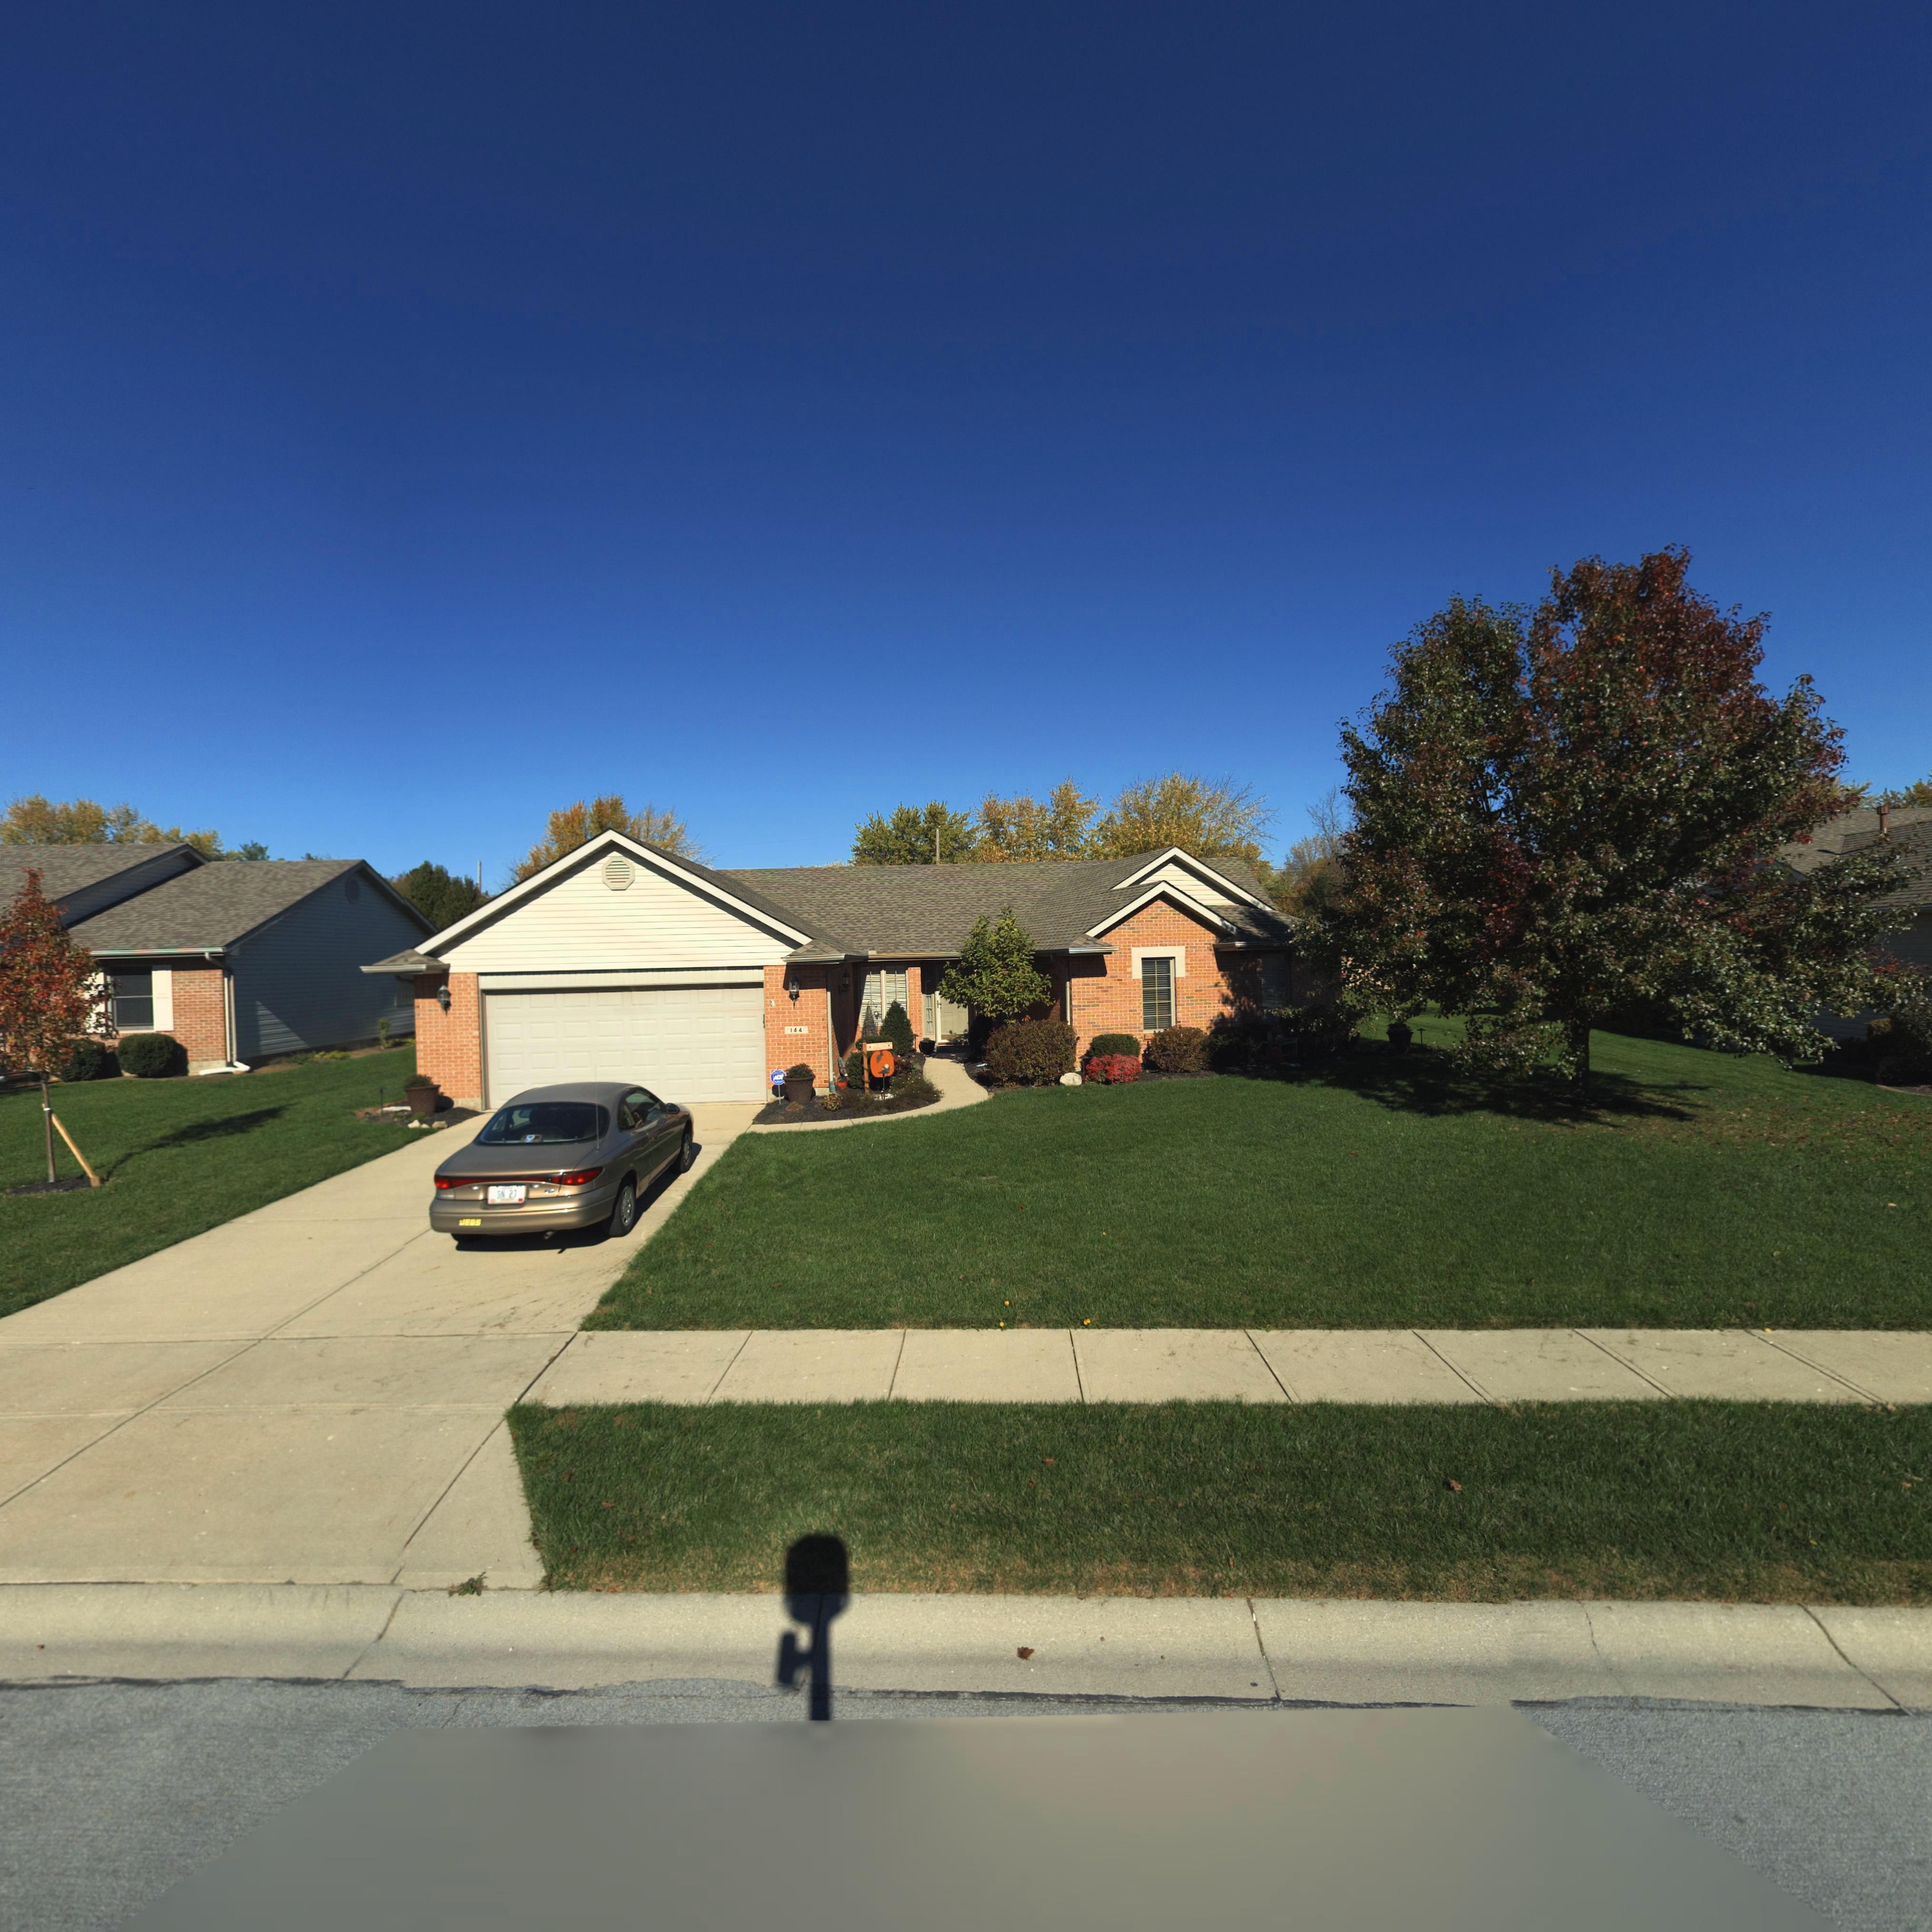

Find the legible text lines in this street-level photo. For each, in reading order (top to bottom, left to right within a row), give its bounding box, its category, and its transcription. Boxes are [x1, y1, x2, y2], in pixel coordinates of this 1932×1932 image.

[790, 1027, 802, 1033] StreetNumber: 144
[493, 1188, 516, 1199] None: S* 27